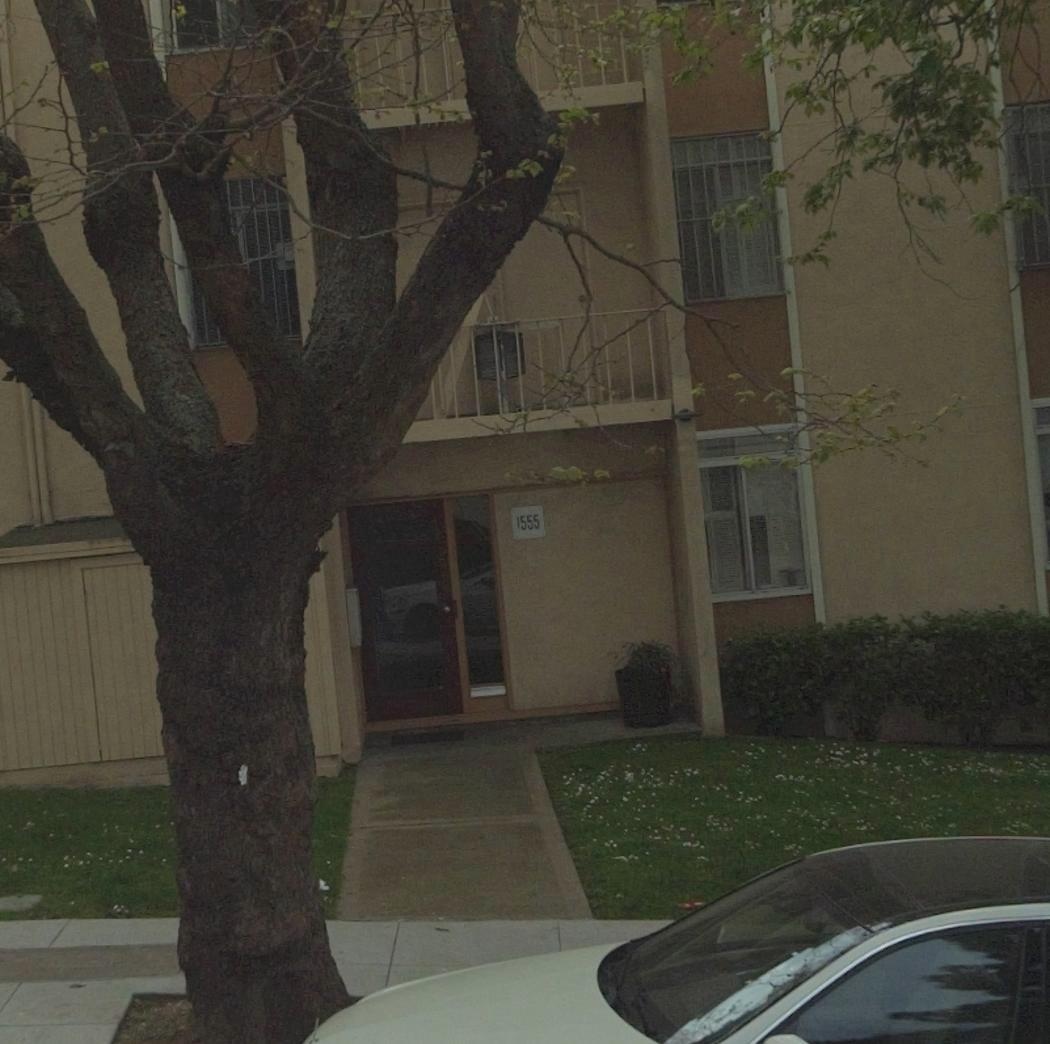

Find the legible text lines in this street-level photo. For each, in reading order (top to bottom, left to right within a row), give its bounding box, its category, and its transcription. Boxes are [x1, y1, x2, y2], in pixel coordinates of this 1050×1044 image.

[514, 513, 542, 533] StreetNumber: 1555